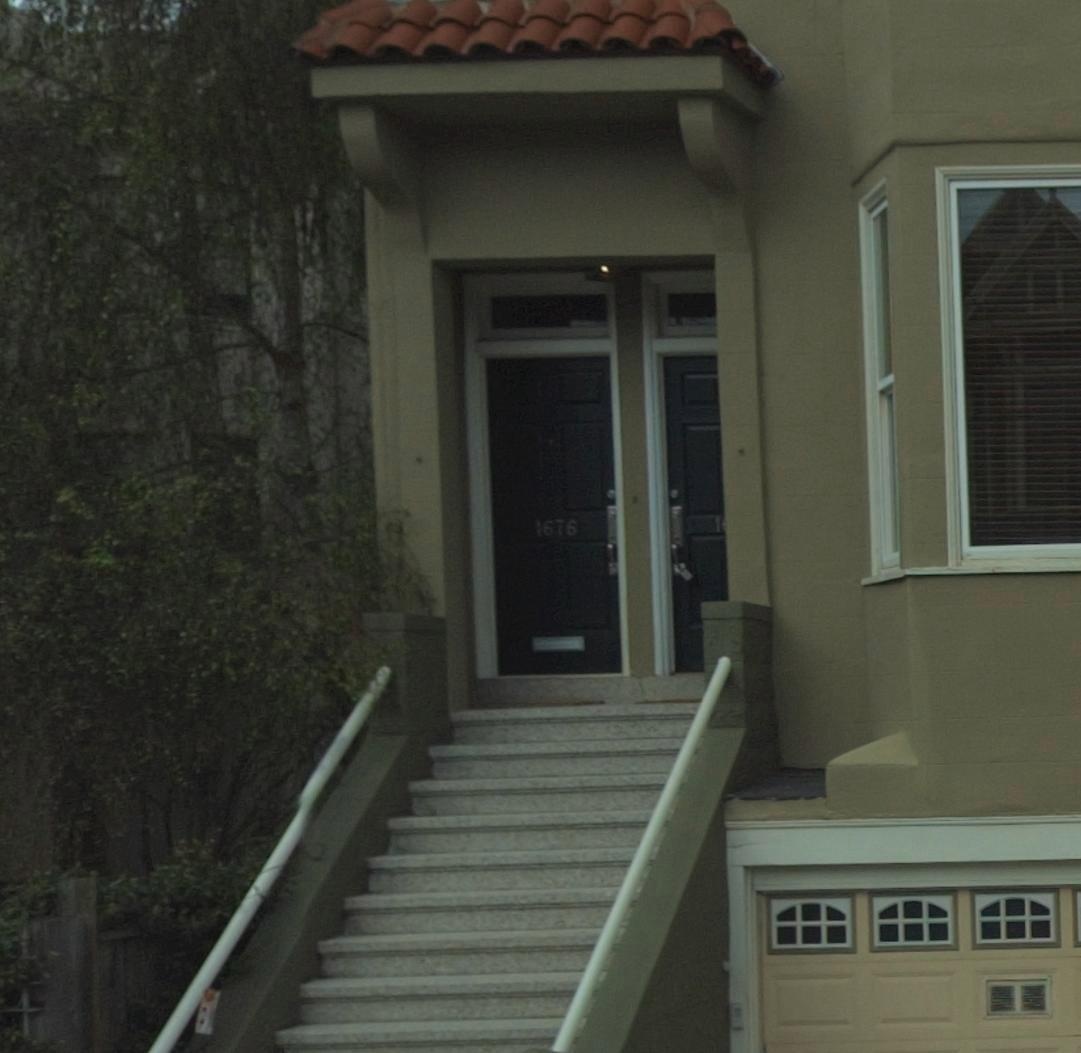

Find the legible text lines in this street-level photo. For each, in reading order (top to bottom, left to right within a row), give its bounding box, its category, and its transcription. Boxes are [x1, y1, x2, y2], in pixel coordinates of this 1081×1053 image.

[532, 517, 580, 537] StreetNumber: 1676
[712, 514, 722, 534] StreetNumber: 1